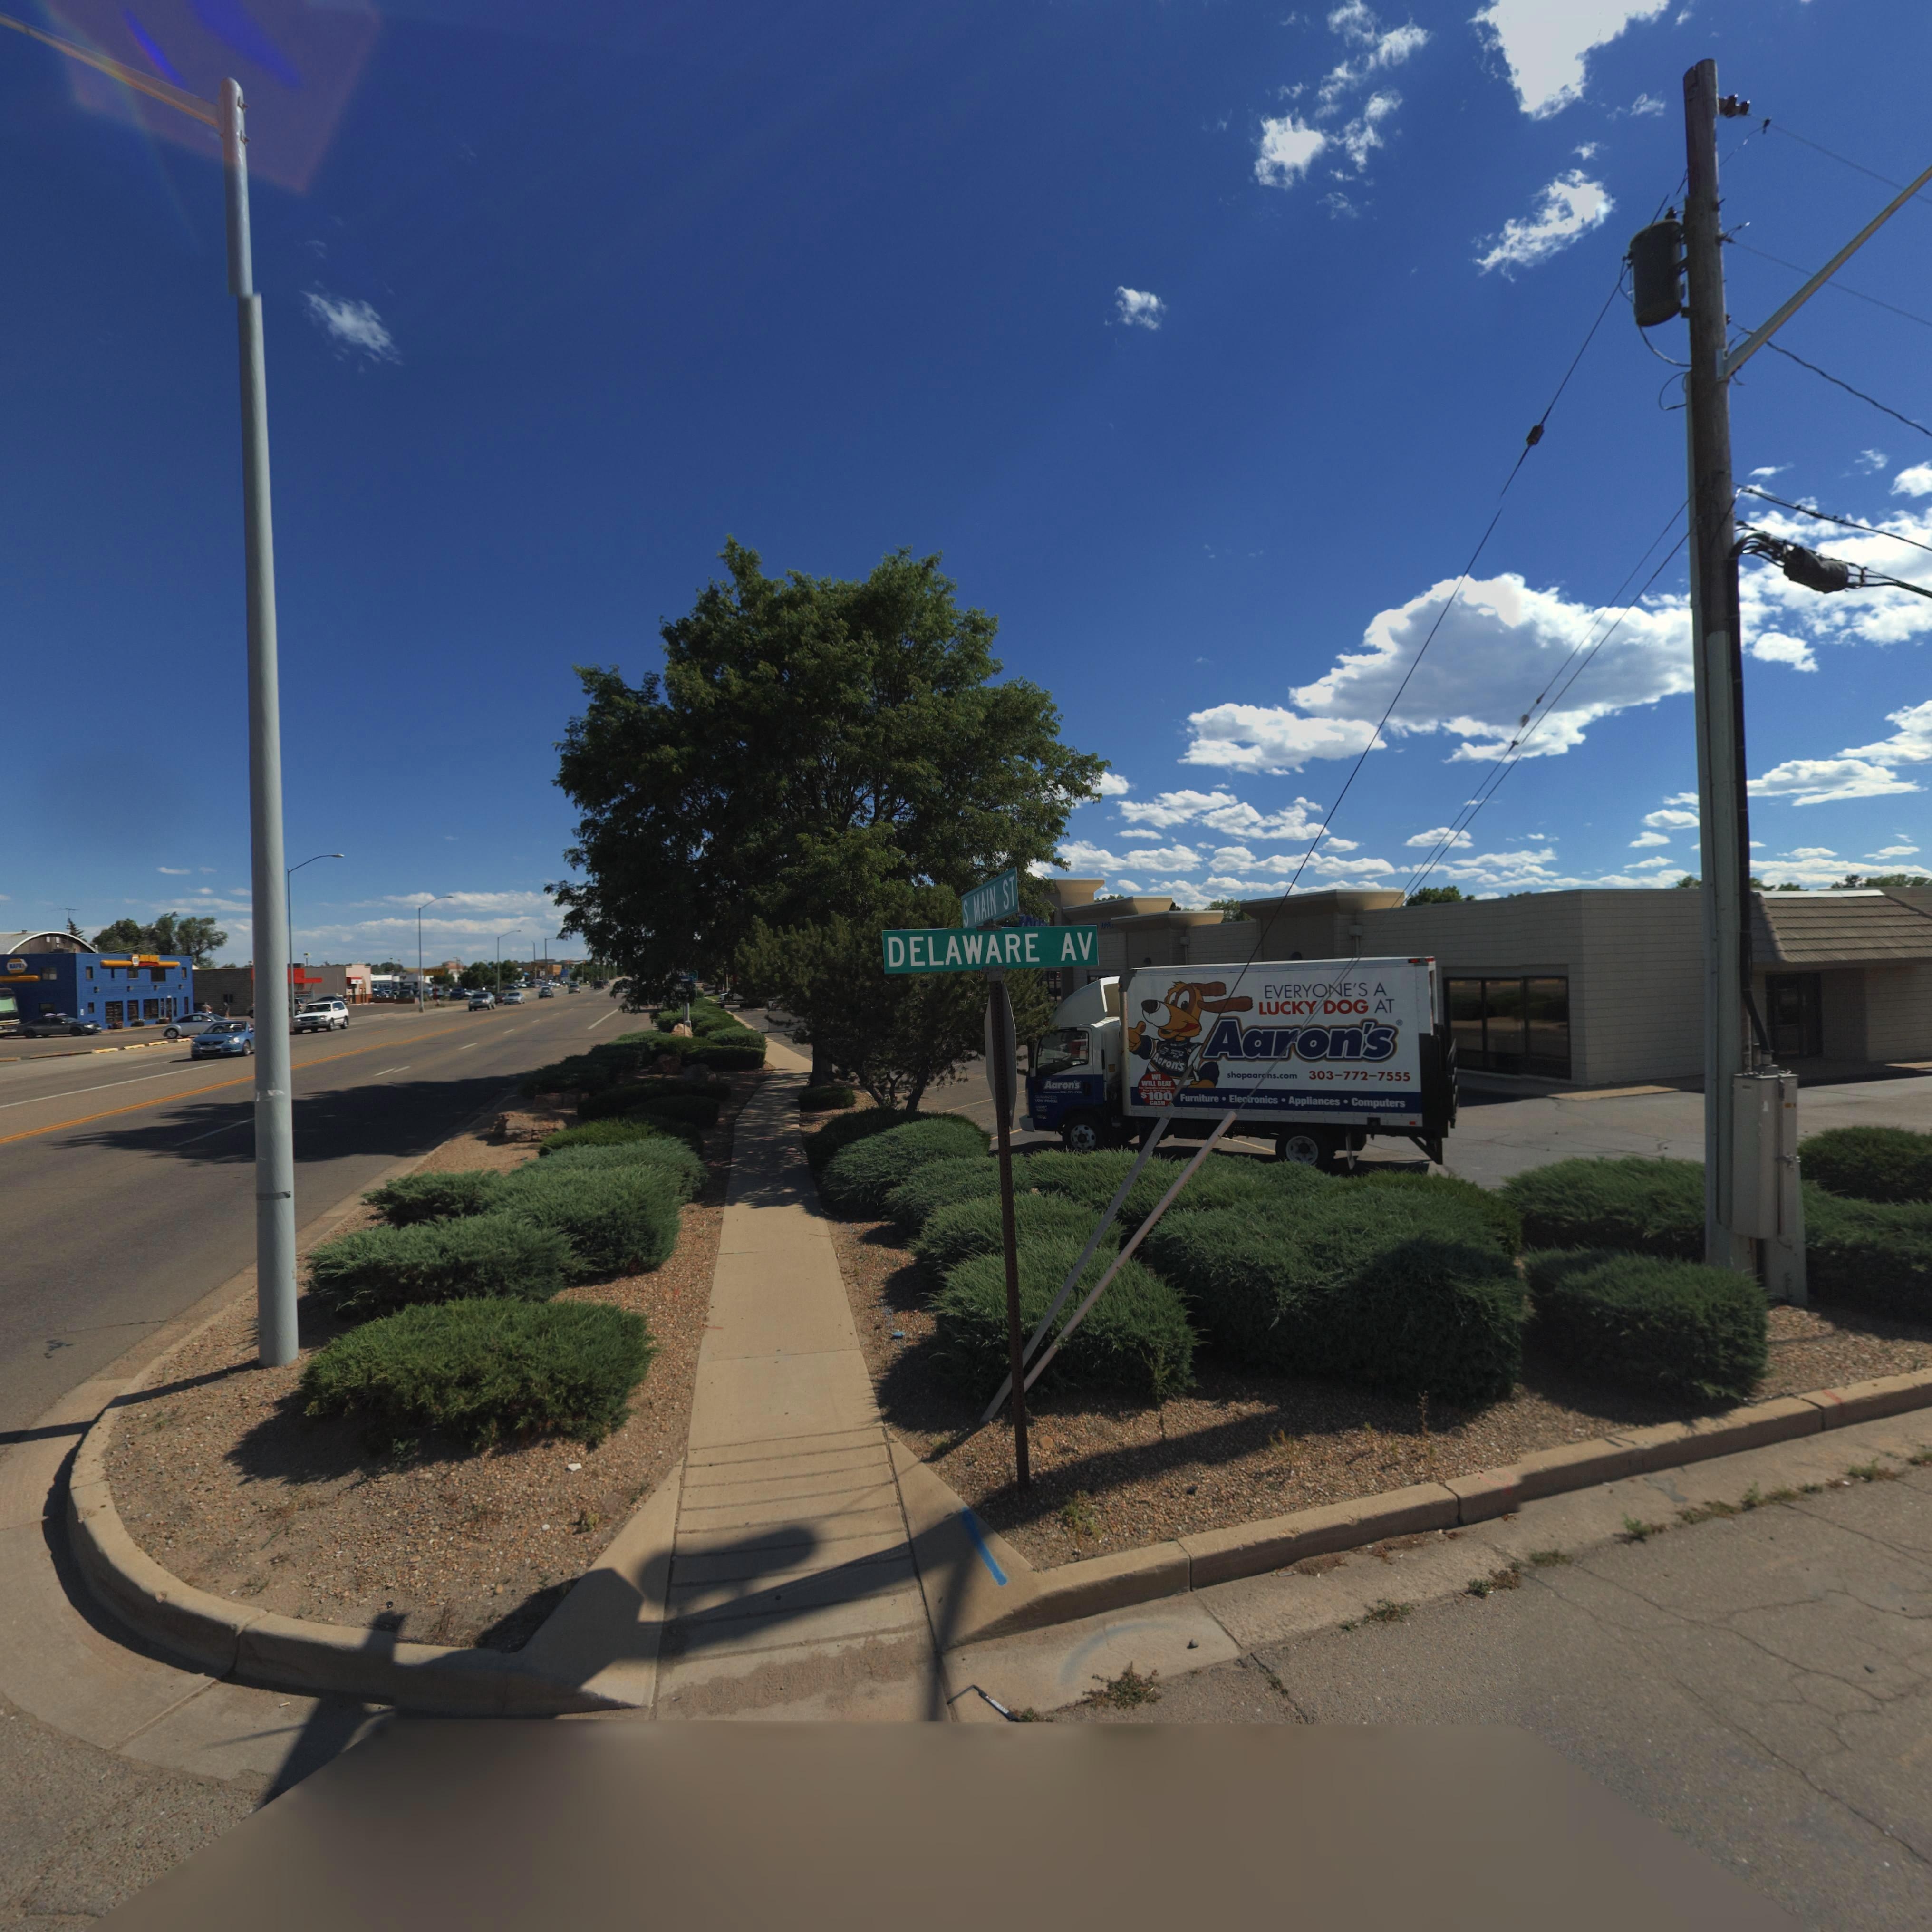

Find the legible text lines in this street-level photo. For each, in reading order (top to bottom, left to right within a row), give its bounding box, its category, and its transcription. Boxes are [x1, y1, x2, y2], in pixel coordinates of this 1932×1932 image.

[962, 874, 1015, 928] StreetName: S MAIN ST
[9, 962, 22, 969] BusinessName: NAPA
[887, 931, 1093, 968] StreetName: DELAWARE AV